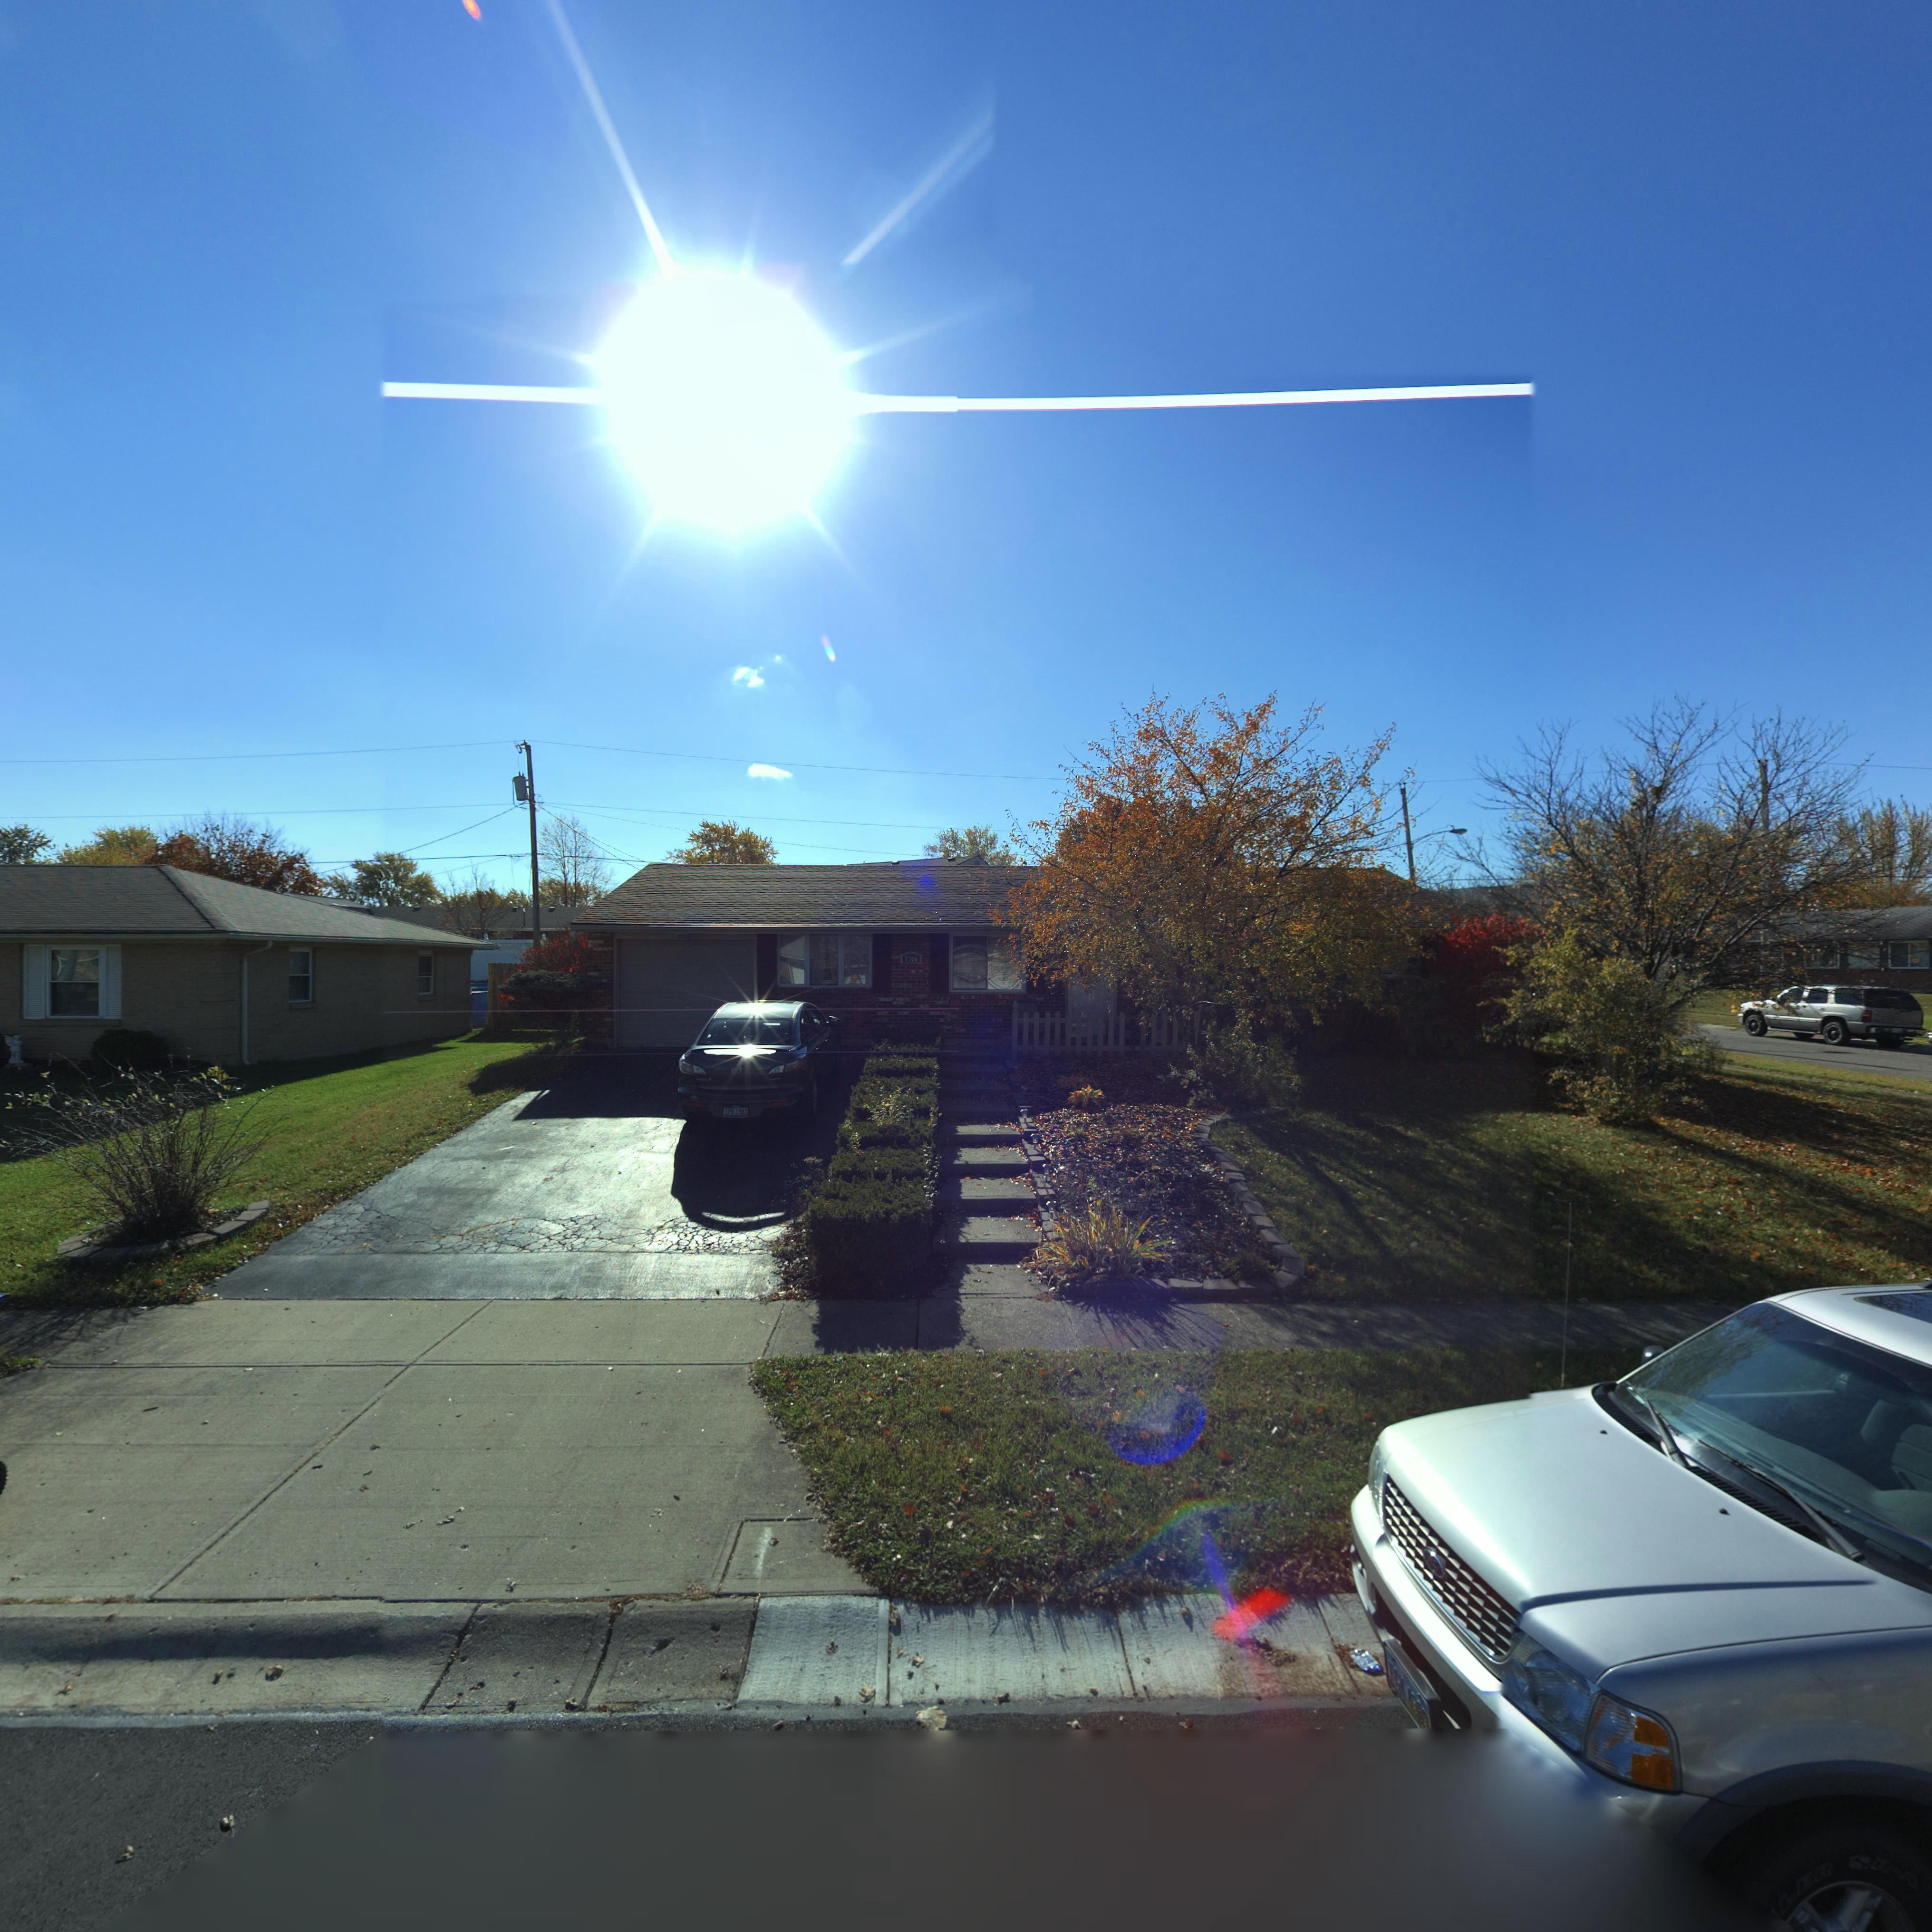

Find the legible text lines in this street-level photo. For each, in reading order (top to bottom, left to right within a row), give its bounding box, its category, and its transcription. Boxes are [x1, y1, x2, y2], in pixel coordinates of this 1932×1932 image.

[904, 956, 918, 962] StreetNumber: 7206